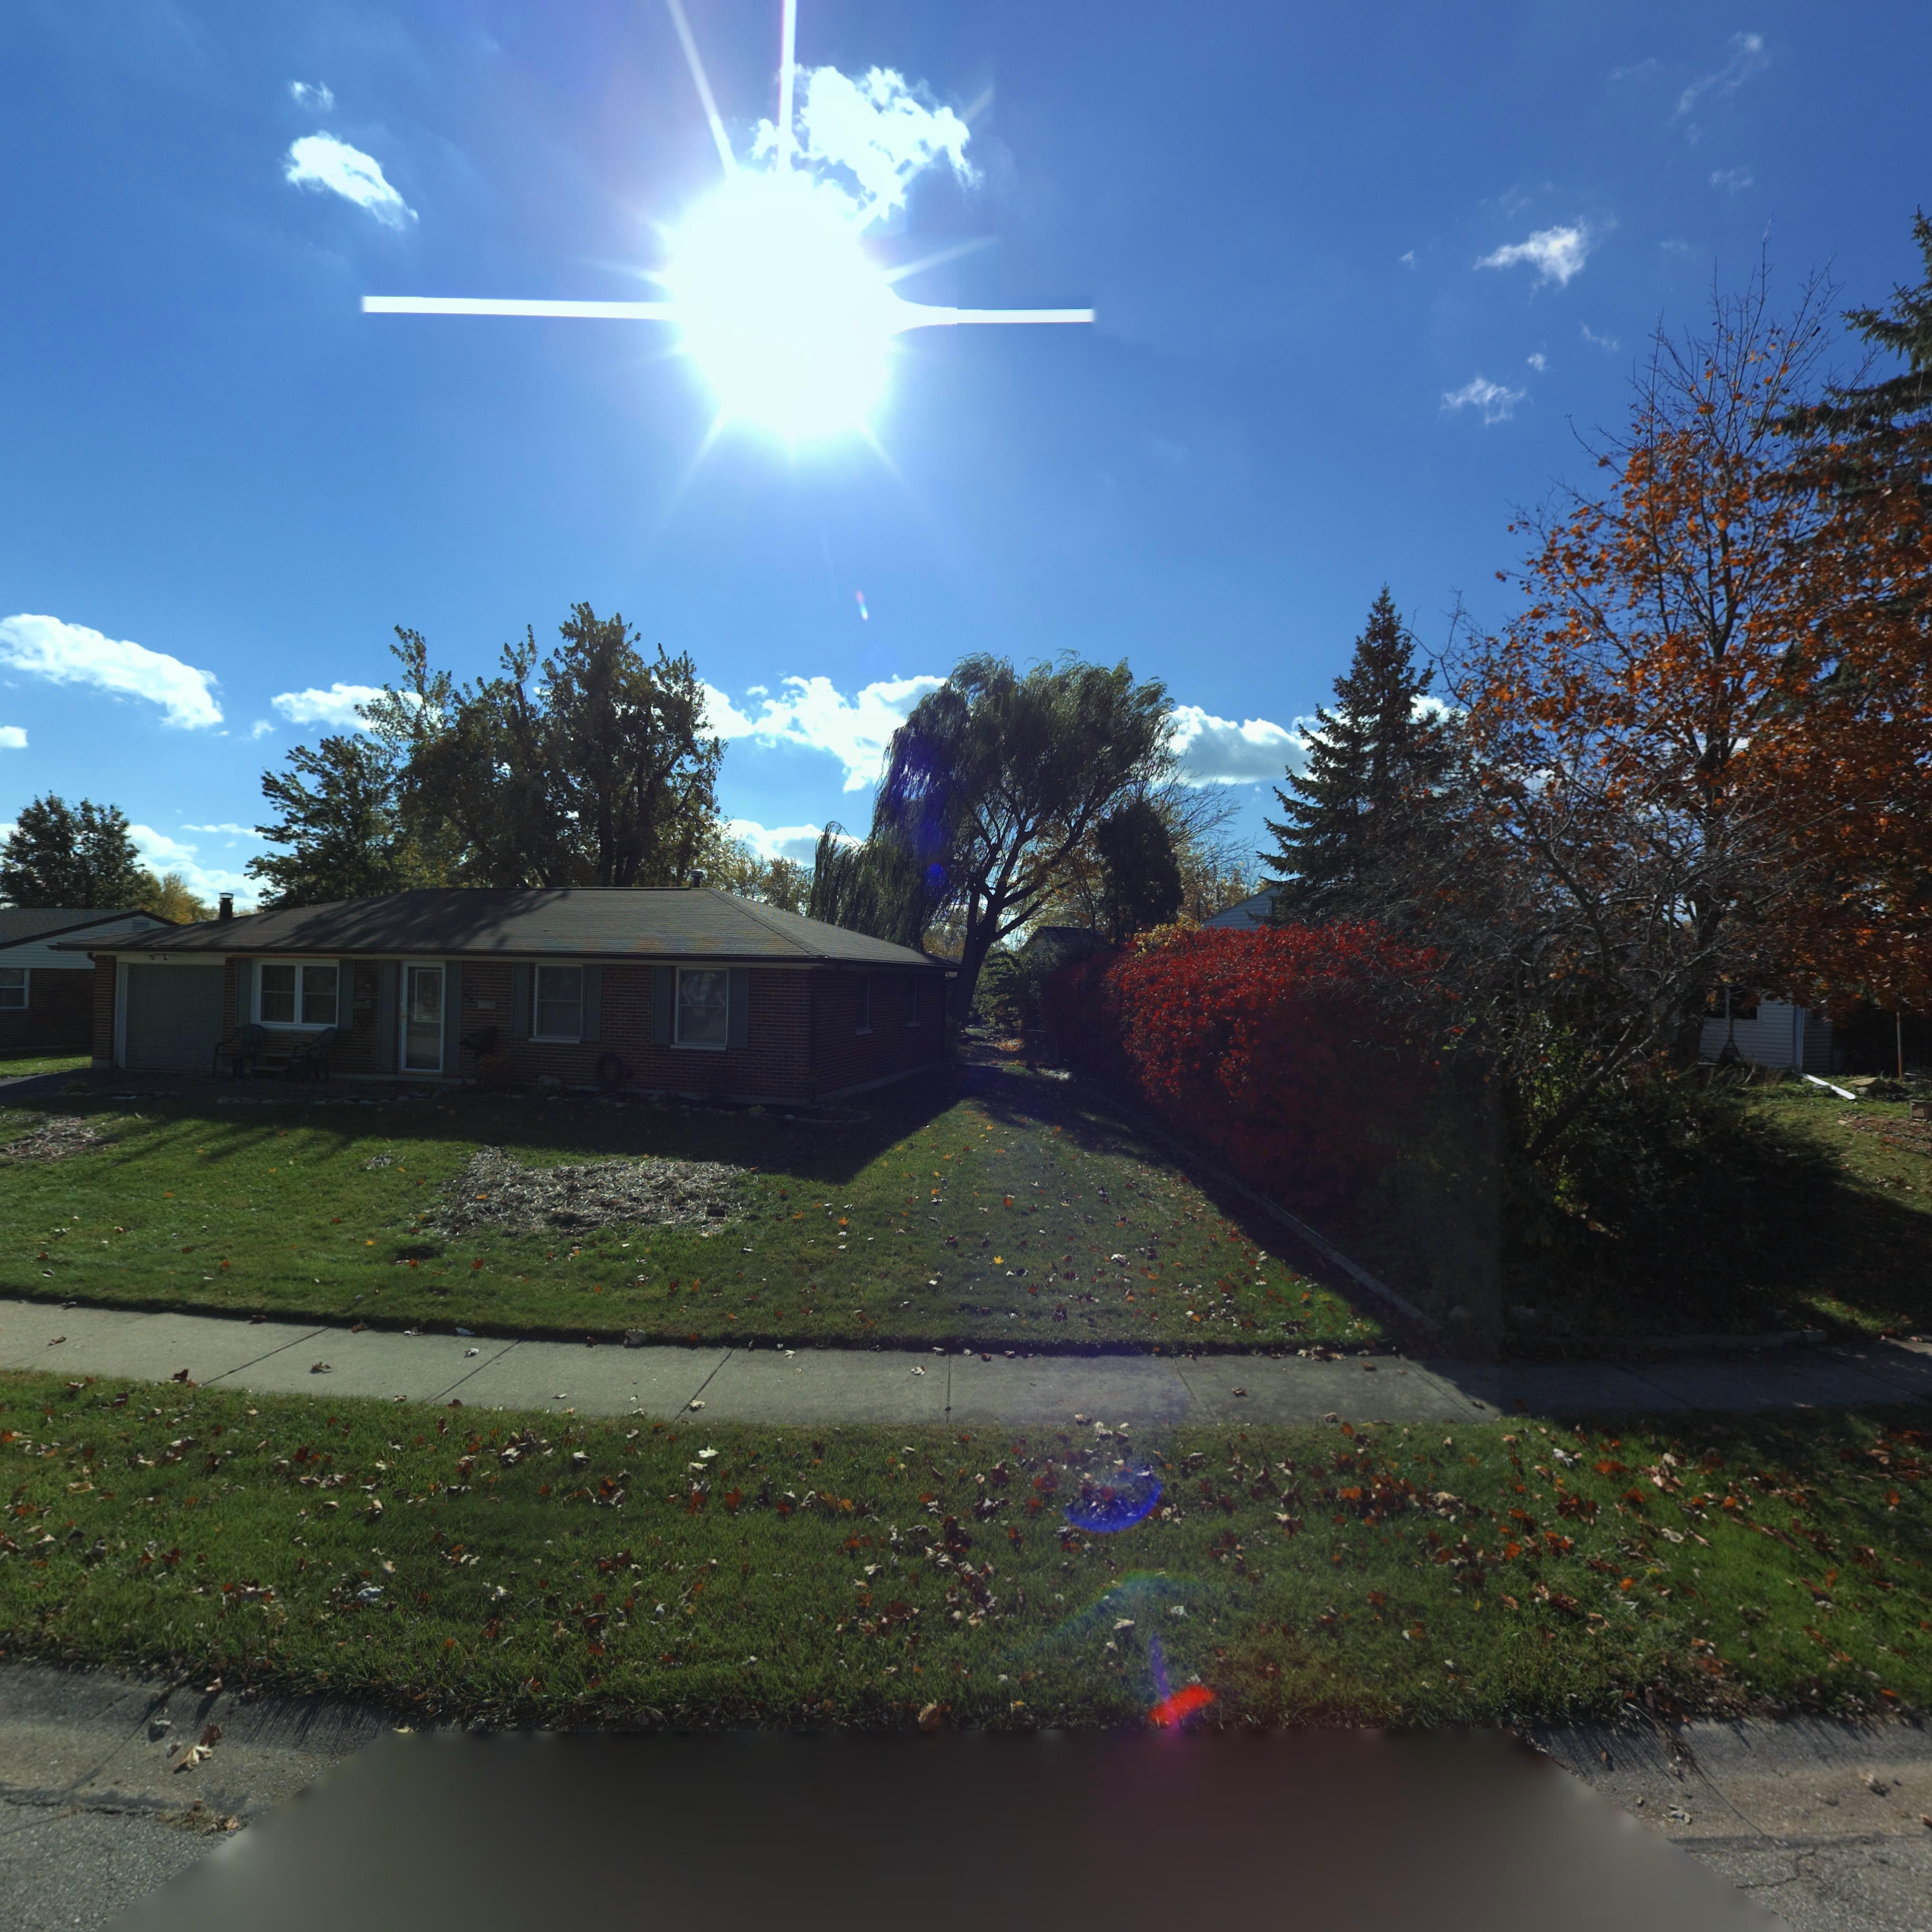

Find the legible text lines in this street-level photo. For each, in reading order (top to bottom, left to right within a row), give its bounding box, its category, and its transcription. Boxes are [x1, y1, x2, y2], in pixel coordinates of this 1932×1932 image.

[478, 1001, 495, 1009] StreetNumber: 667*